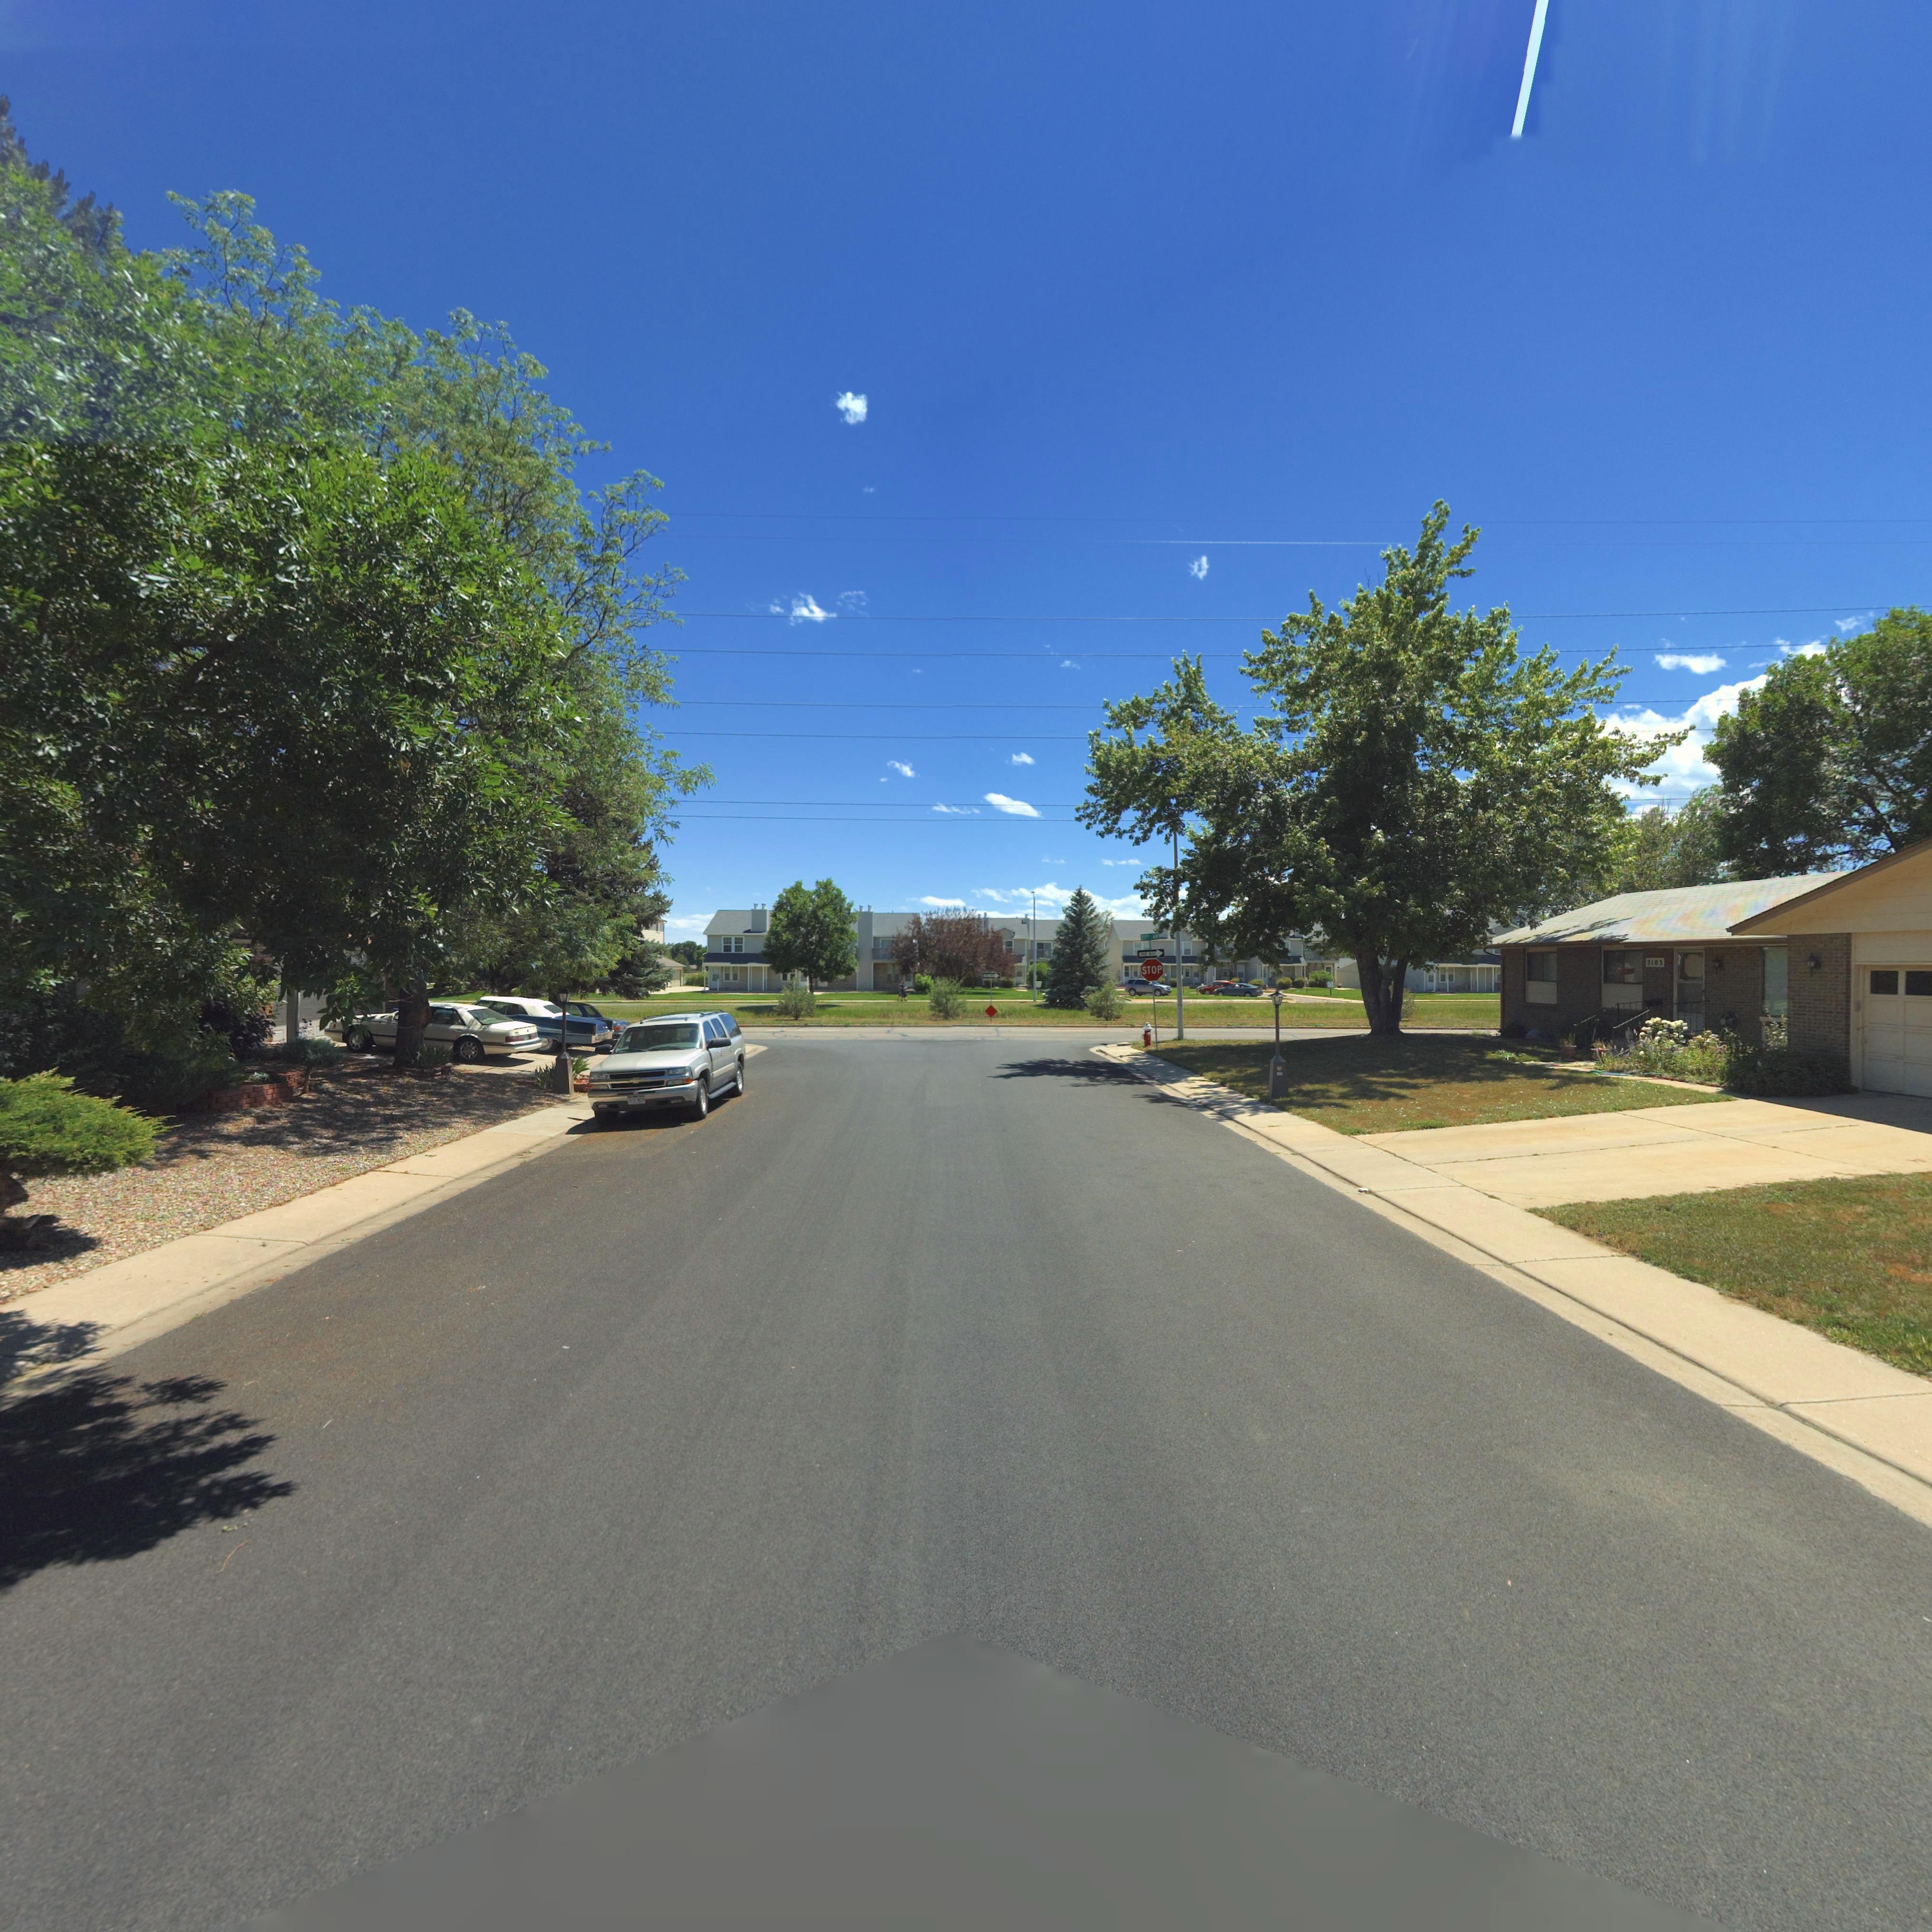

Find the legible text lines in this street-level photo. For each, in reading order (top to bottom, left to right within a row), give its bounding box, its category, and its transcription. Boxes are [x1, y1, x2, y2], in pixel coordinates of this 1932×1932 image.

[1140, 934, 1158, 940] StreetName: 21ST AV
[1647, 959, 1662, 966] StreetNumber: 2105